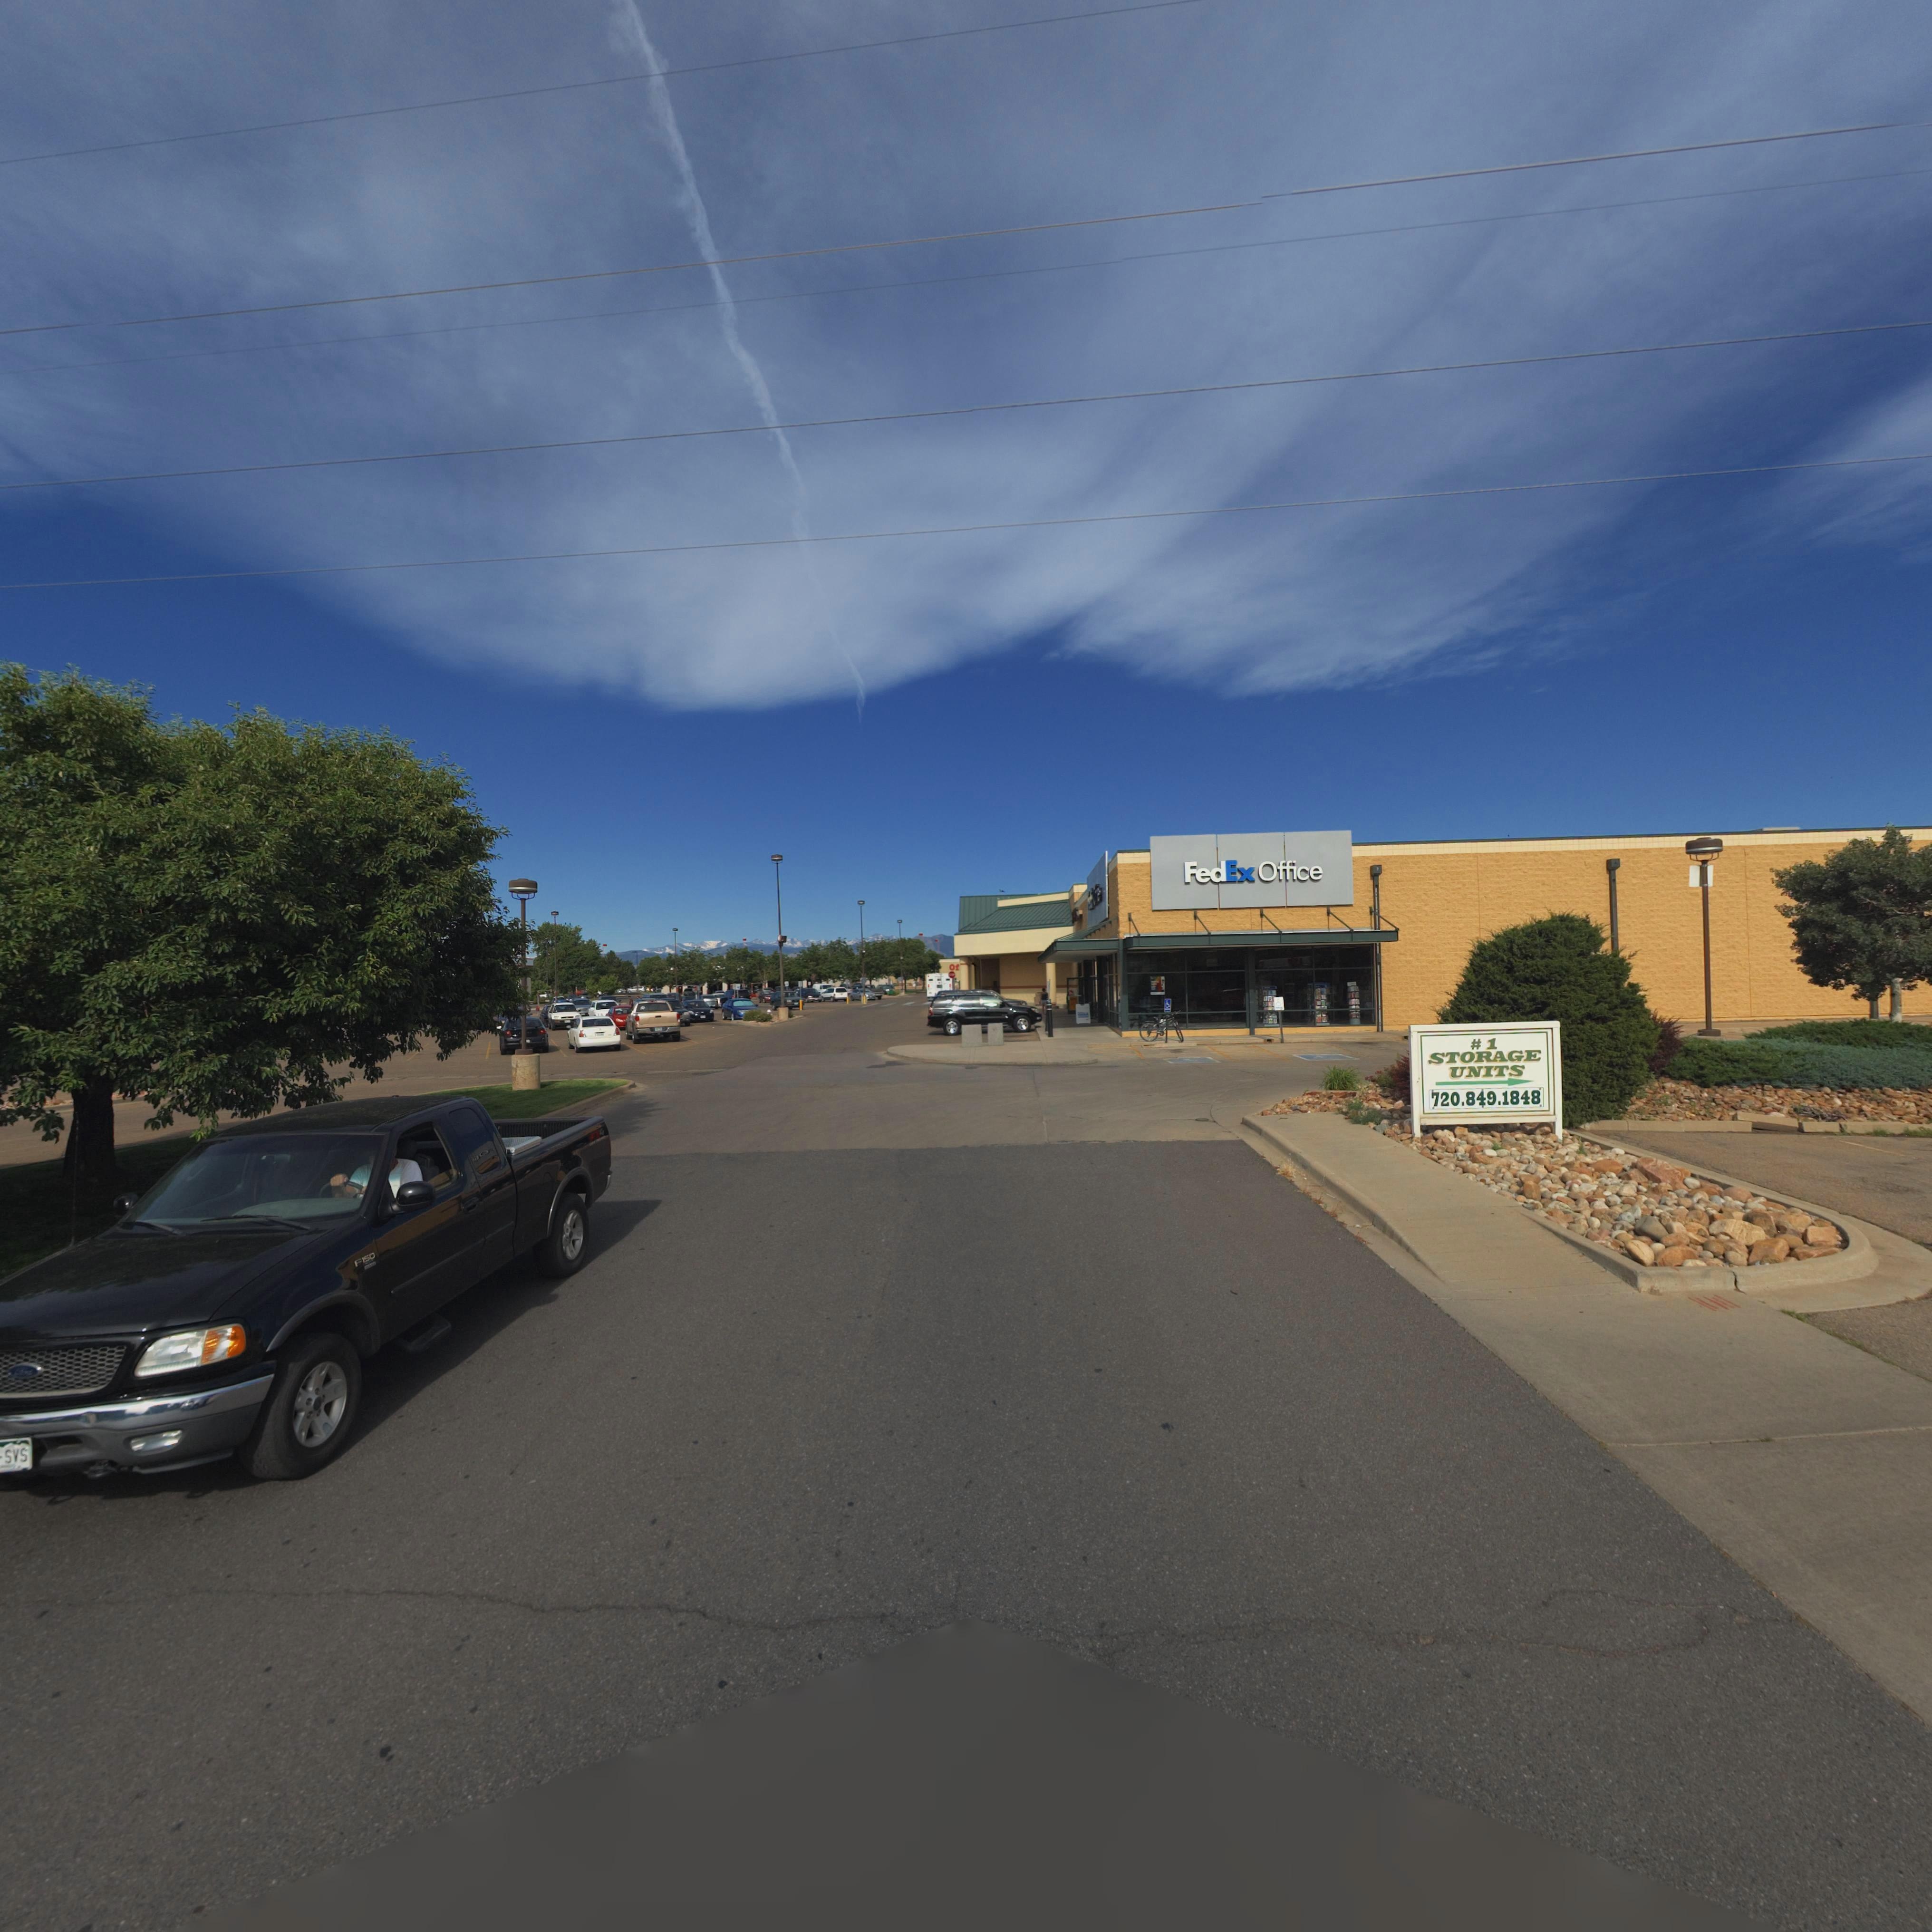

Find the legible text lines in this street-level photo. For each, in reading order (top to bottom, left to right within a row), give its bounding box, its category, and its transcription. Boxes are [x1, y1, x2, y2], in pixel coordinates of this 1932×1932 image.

[949, 963, 959, 970] BusinessName: Of
[1470, 1038, 1497, 1050] BusinessName: *1
[1428, 1049, 1542, 1064] BusinessName: STORAGE
[1449, 1064, 1525, 1078] BusinessName: UNITS